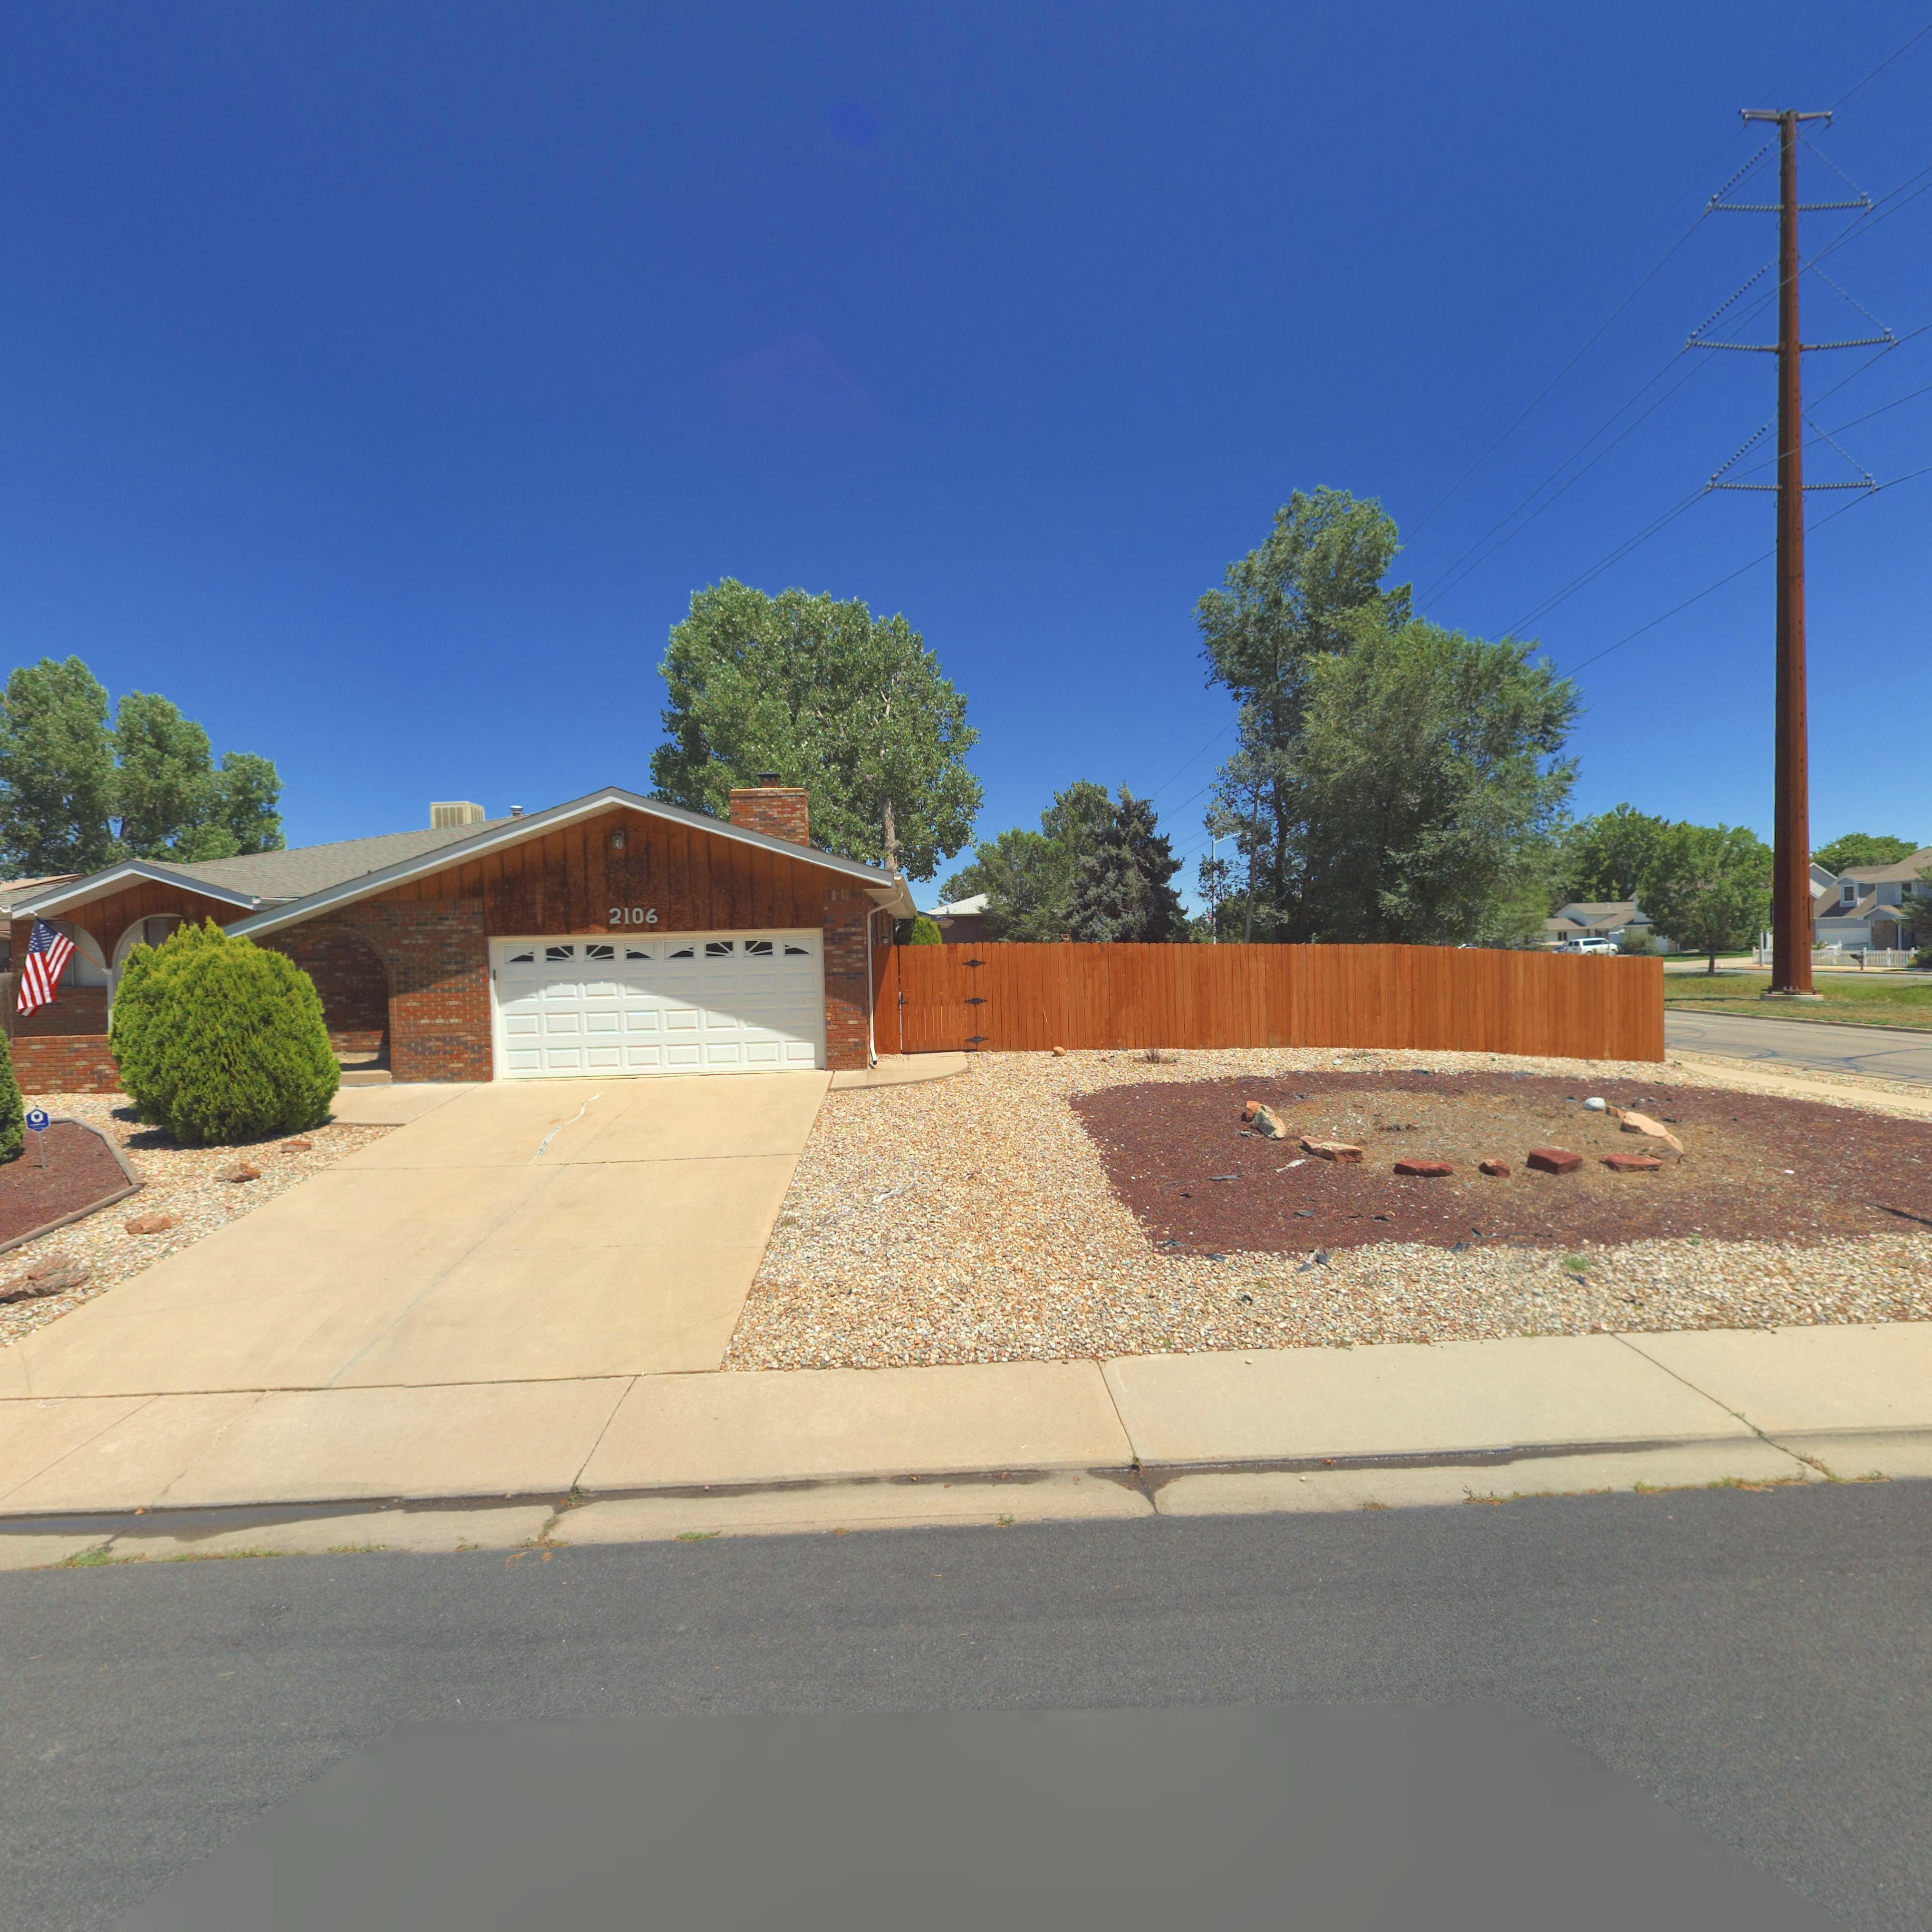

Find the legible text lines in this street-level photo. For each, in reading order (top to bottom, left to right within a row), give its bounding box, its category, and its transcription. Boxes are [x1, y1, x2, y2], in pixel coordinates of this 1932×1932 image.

[608, 907, 658, 924] StreetNumber: 2106